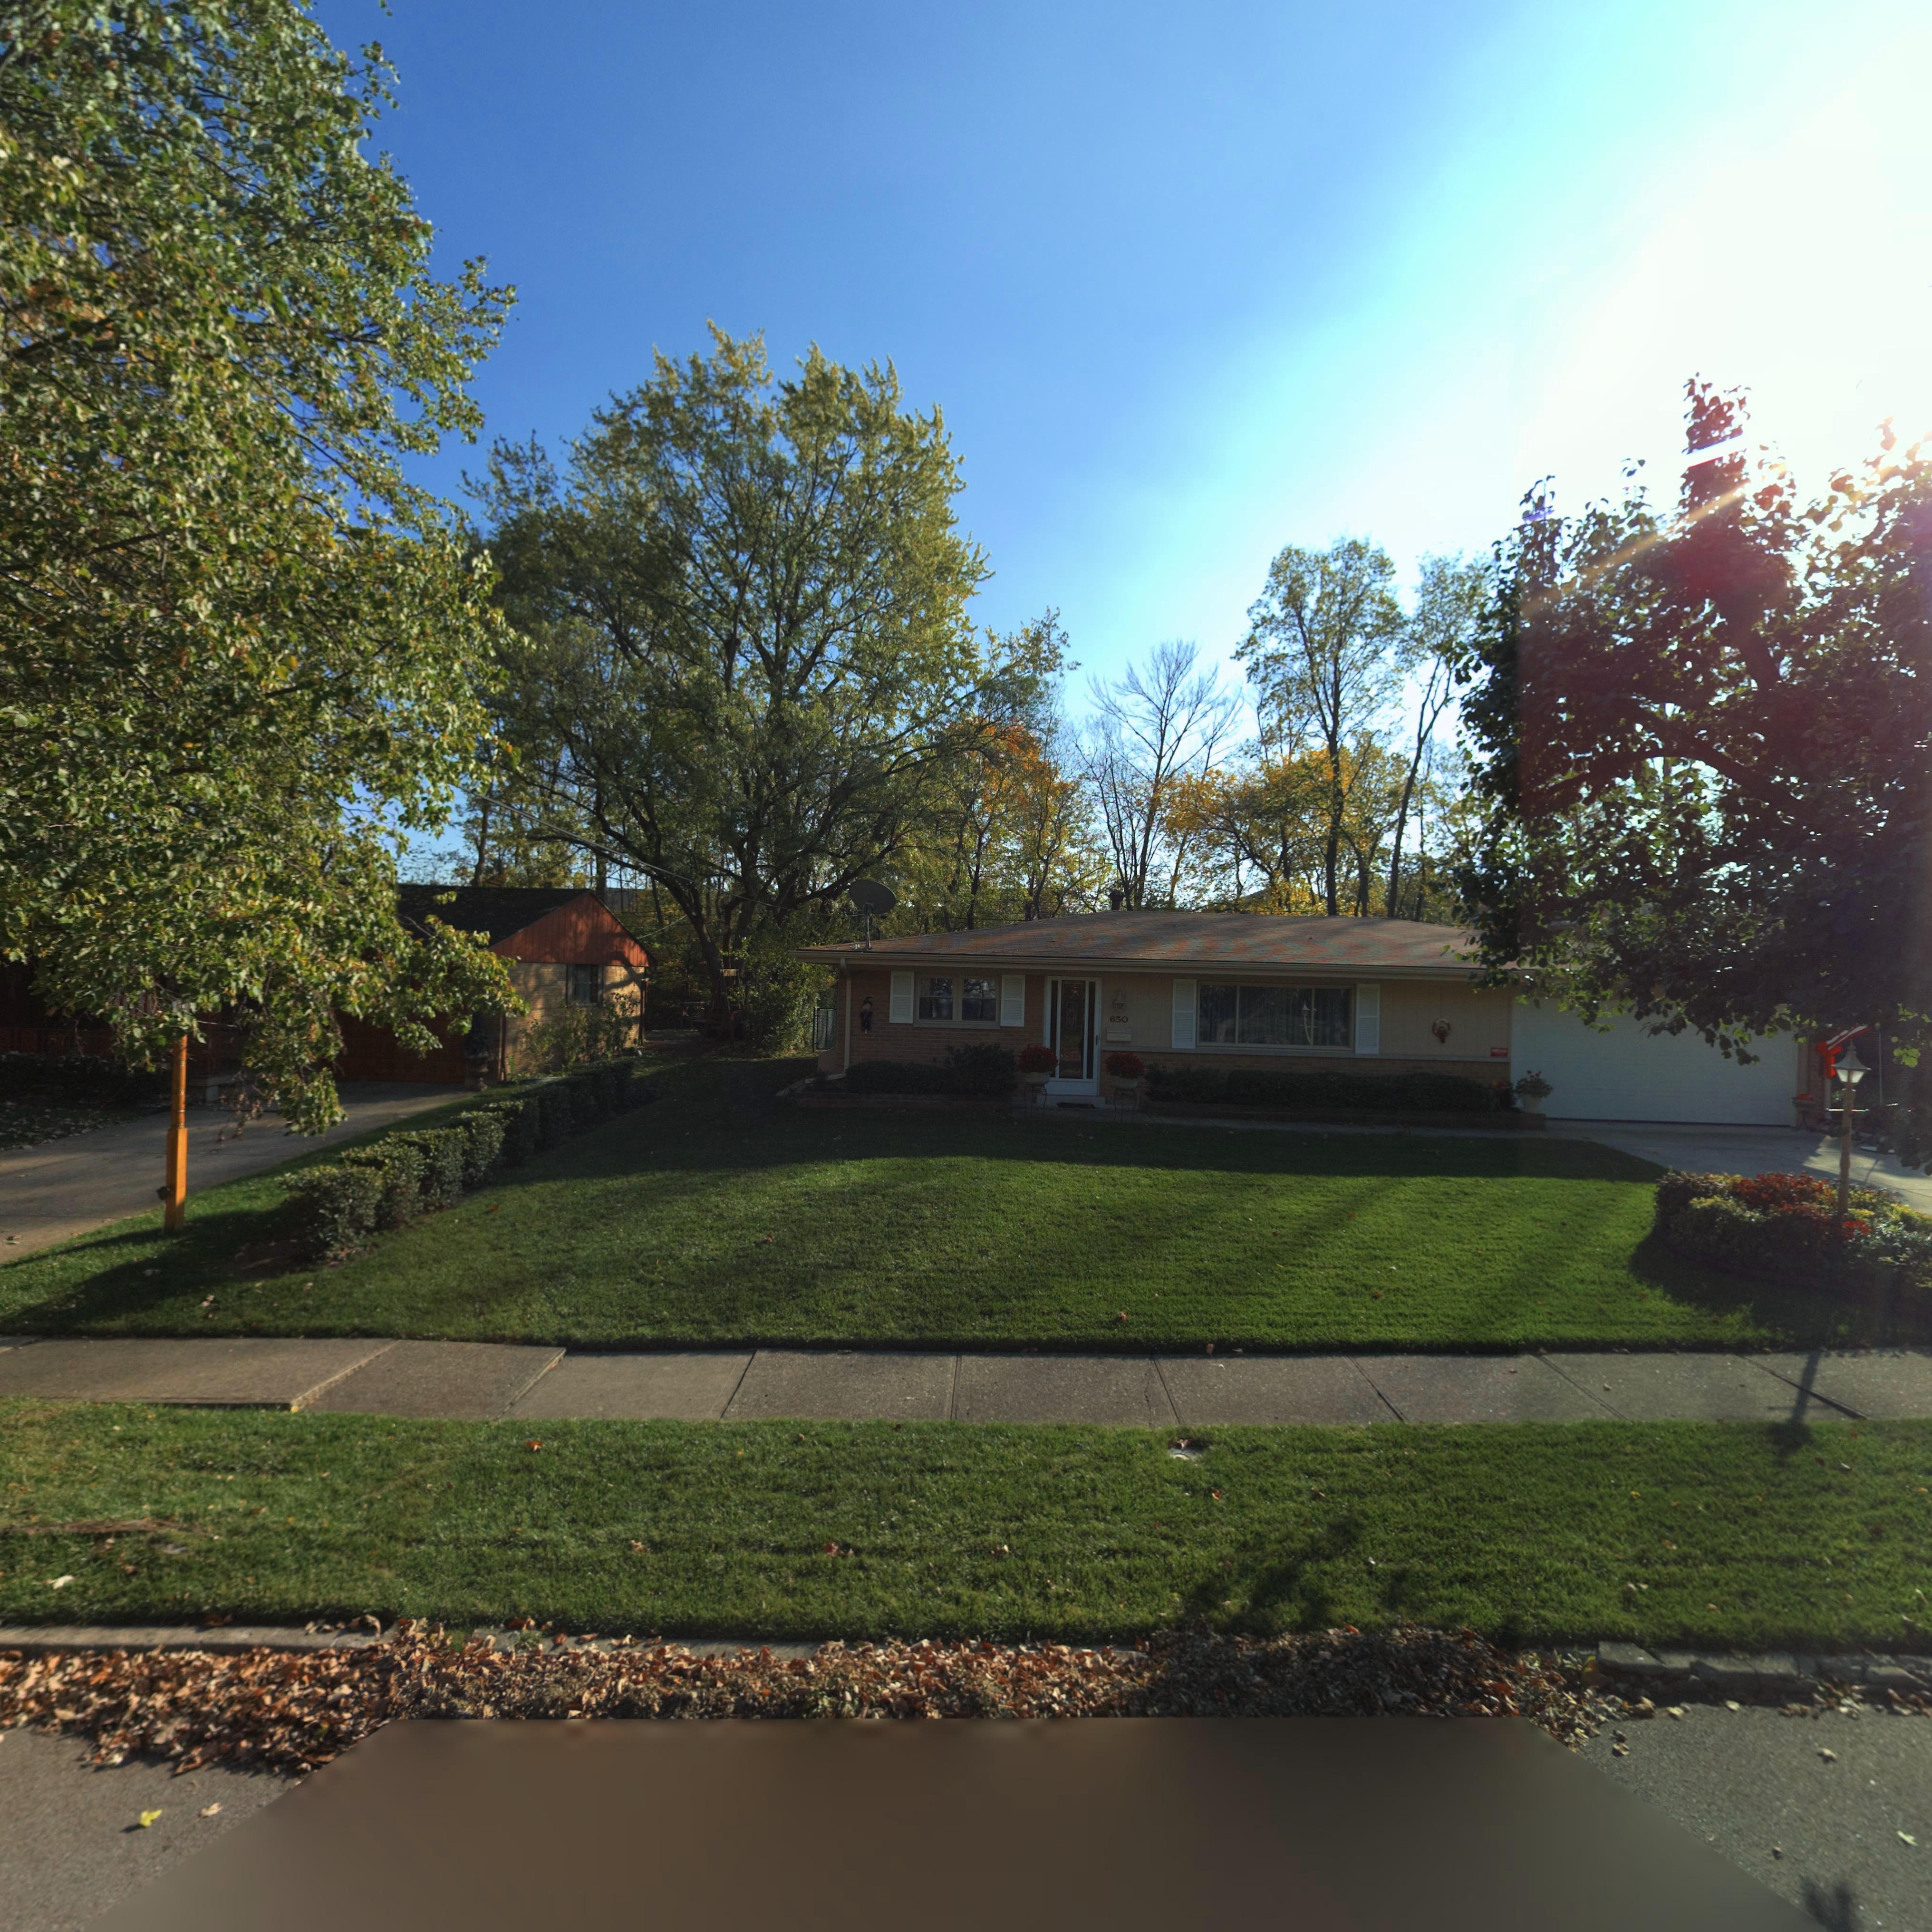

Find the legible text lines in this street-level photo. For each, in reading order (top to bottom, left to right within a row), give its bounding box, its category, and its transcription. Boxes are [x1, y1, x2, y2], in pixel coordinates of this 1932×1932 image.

[1109, 1015, 1129, 1023] StreetNumber: 650